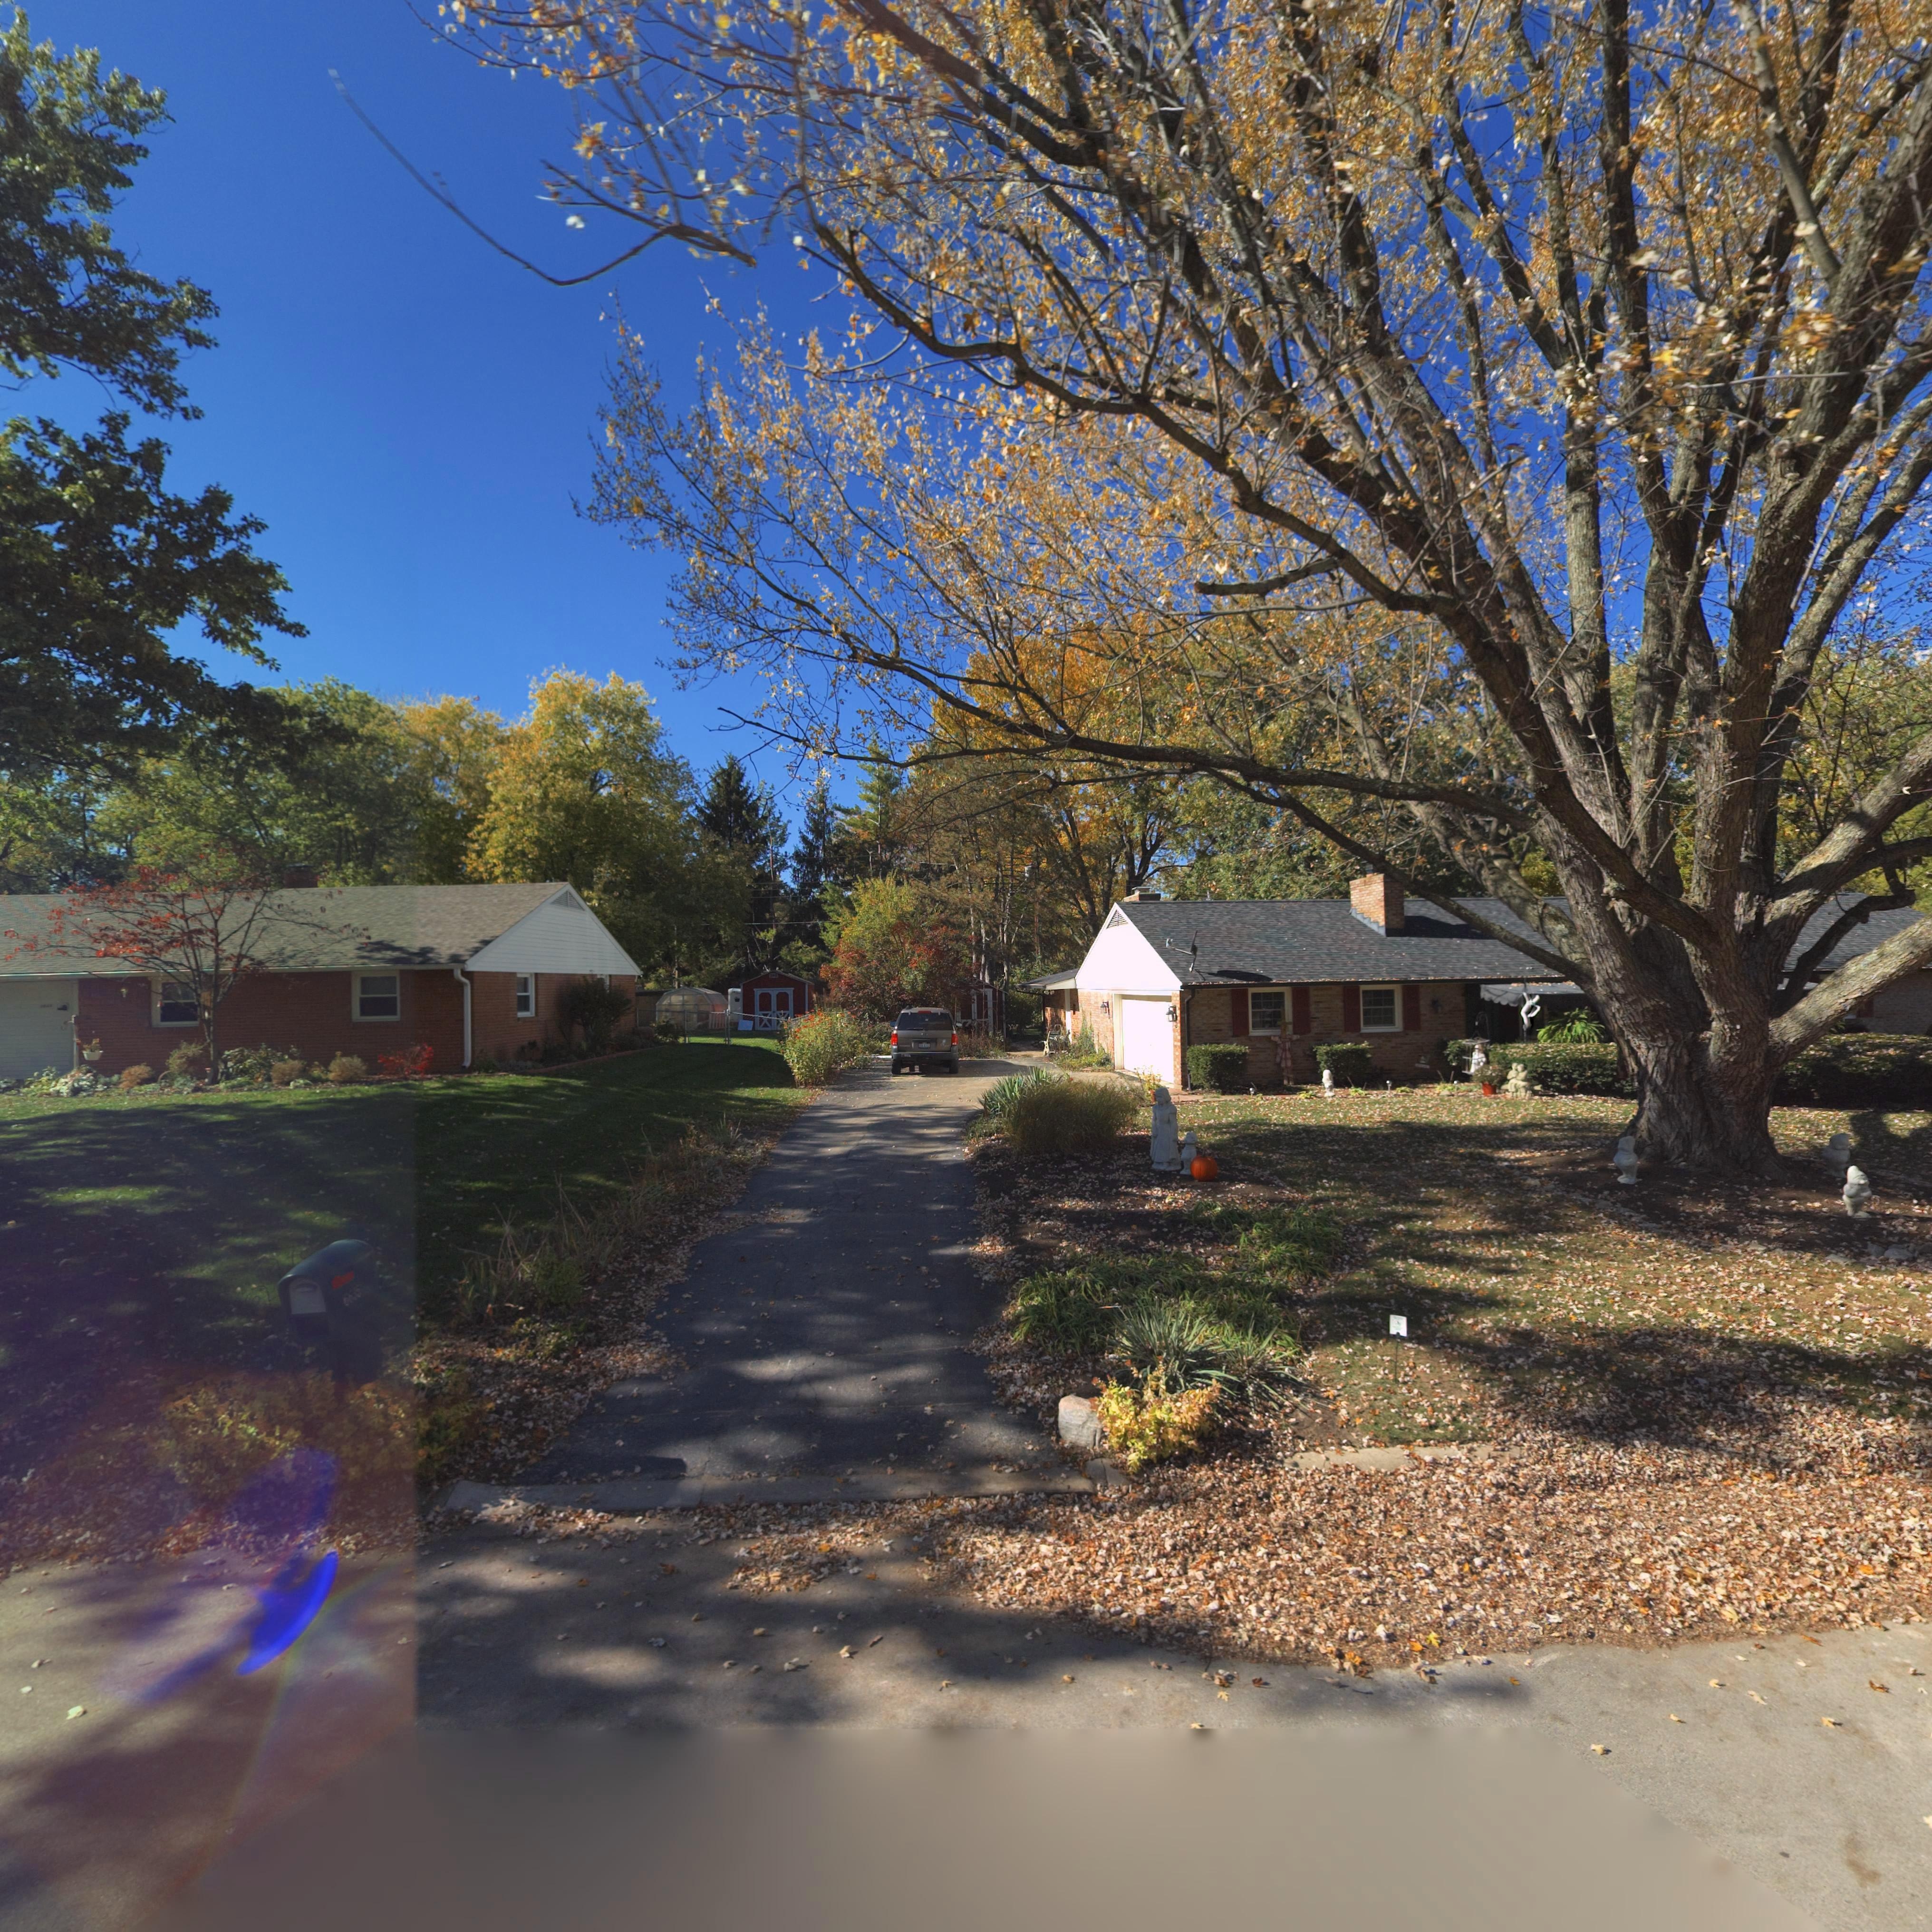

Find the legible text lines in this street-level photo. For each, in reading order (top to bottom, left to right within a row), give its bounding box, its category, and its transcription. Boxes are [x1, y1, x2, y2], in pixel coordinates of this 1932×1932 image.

[343, 1283, 363, 1307] StreetNumber: 66*5